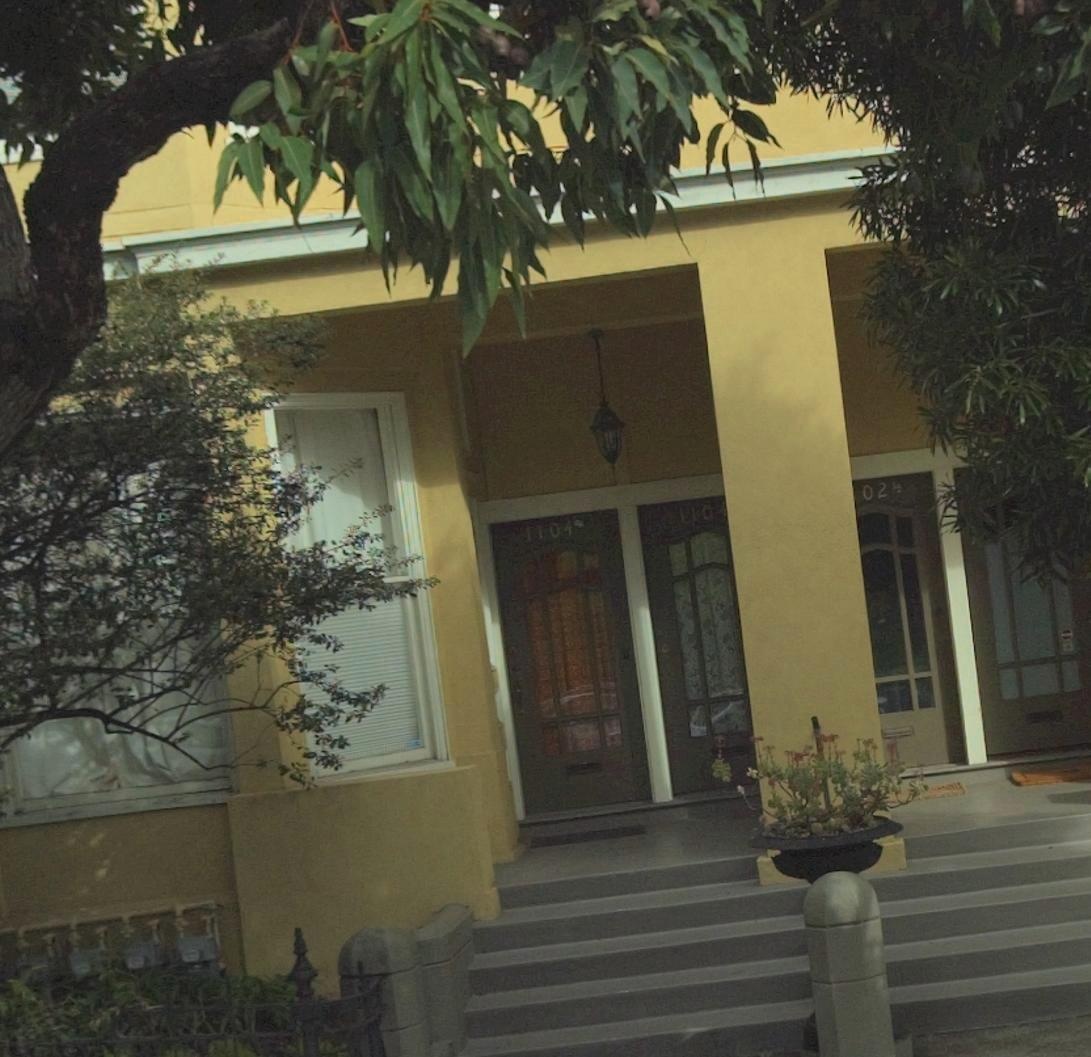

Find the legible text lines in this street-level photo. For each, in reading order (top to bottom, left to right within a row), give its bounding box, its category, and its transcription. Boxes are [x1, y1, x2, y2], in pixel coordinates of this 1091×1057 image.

[859, 476, 907, 505] StreetNumber: 024
[676, 496, 730, 529] StreetNumber: 1104
[523, 517, 576, 546] StreetNumber: 1104